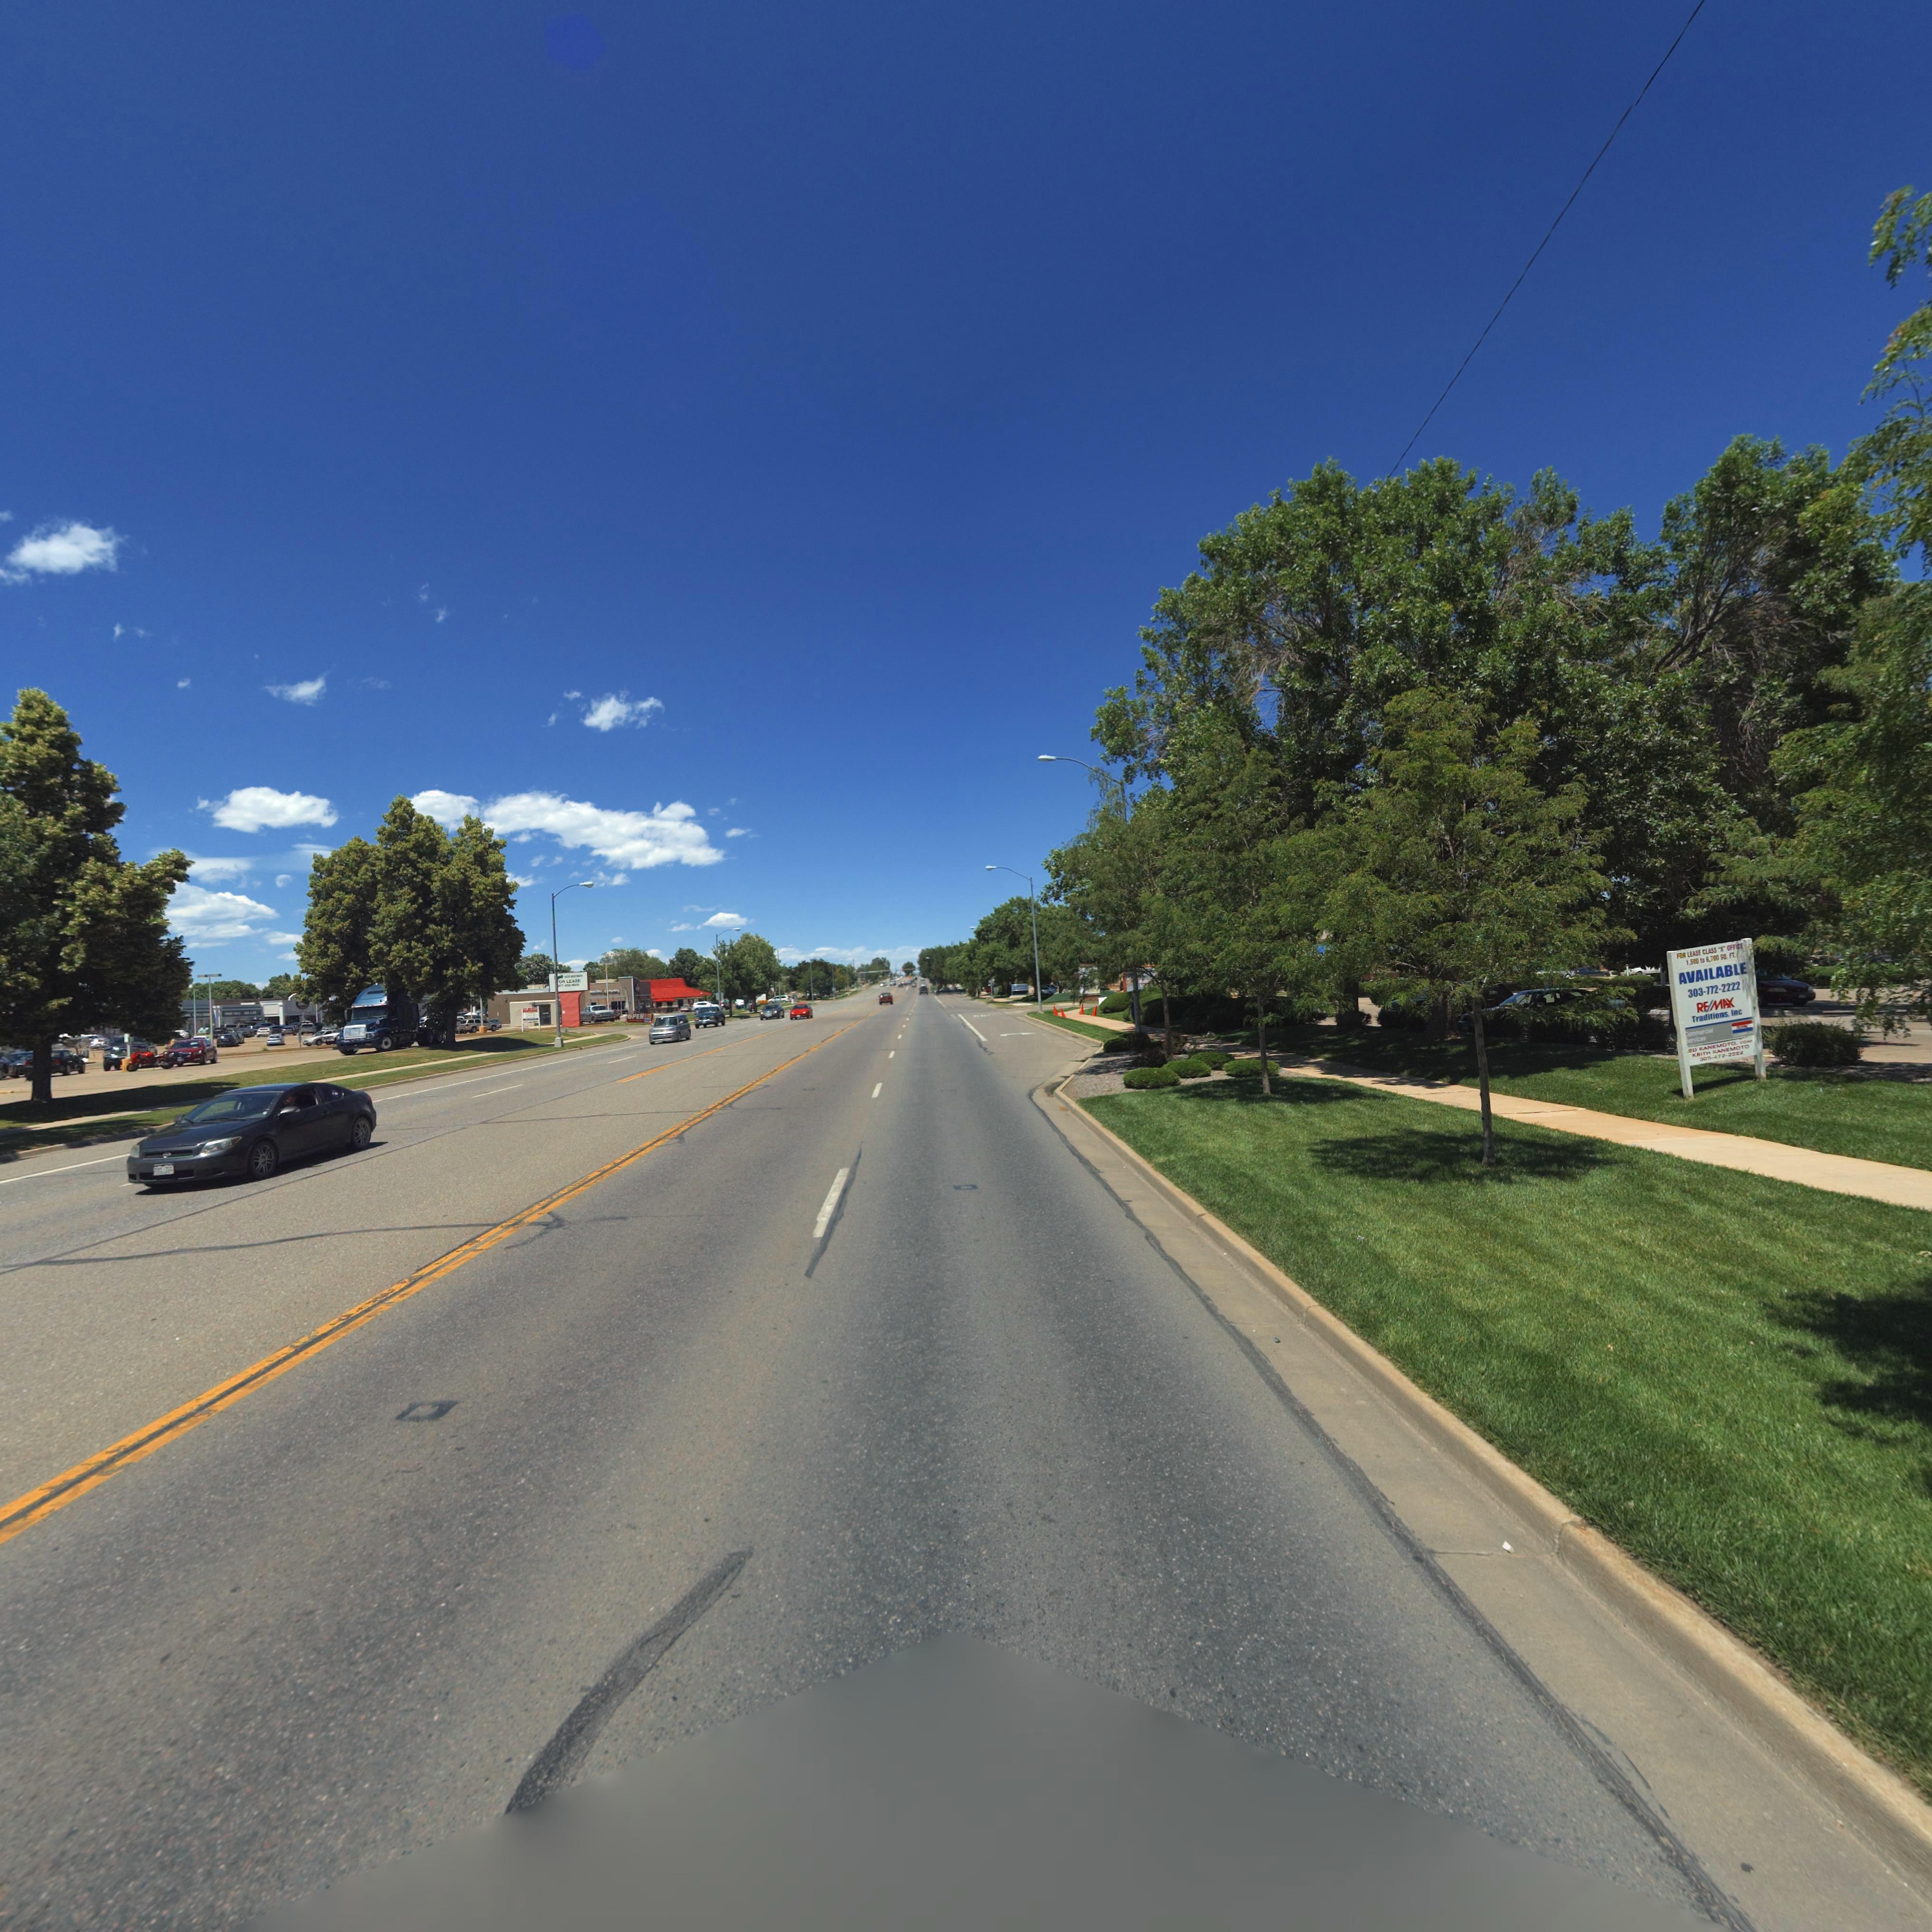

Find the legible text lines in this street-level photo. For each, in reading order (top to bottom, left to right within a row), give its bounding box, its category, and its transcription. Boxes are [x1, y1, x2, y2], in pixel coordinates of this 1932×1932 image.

[589, 988, 620, 994] BusinessName: n****** * ******y